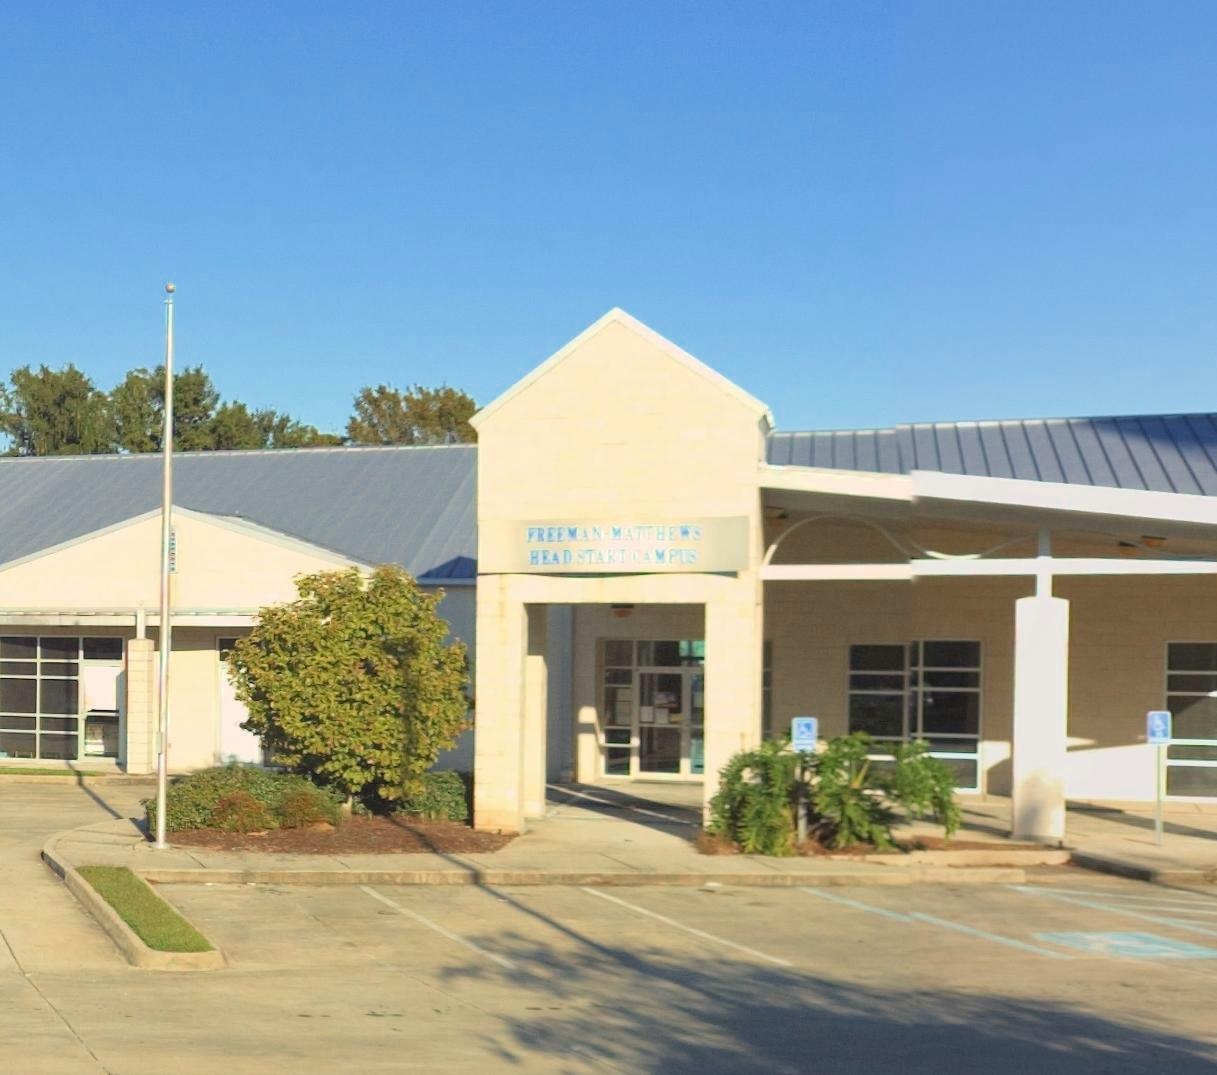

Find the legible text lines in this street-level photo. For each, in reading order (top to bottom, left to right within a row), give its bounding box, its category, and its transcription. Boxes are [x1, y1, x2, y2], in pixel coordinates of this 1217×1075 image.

[526, 523, 703, 544] BusinessName: FREEMAN-MATTHEWS
[529, 546, 700, 567] BusinessName: HEAD START CAMPUS